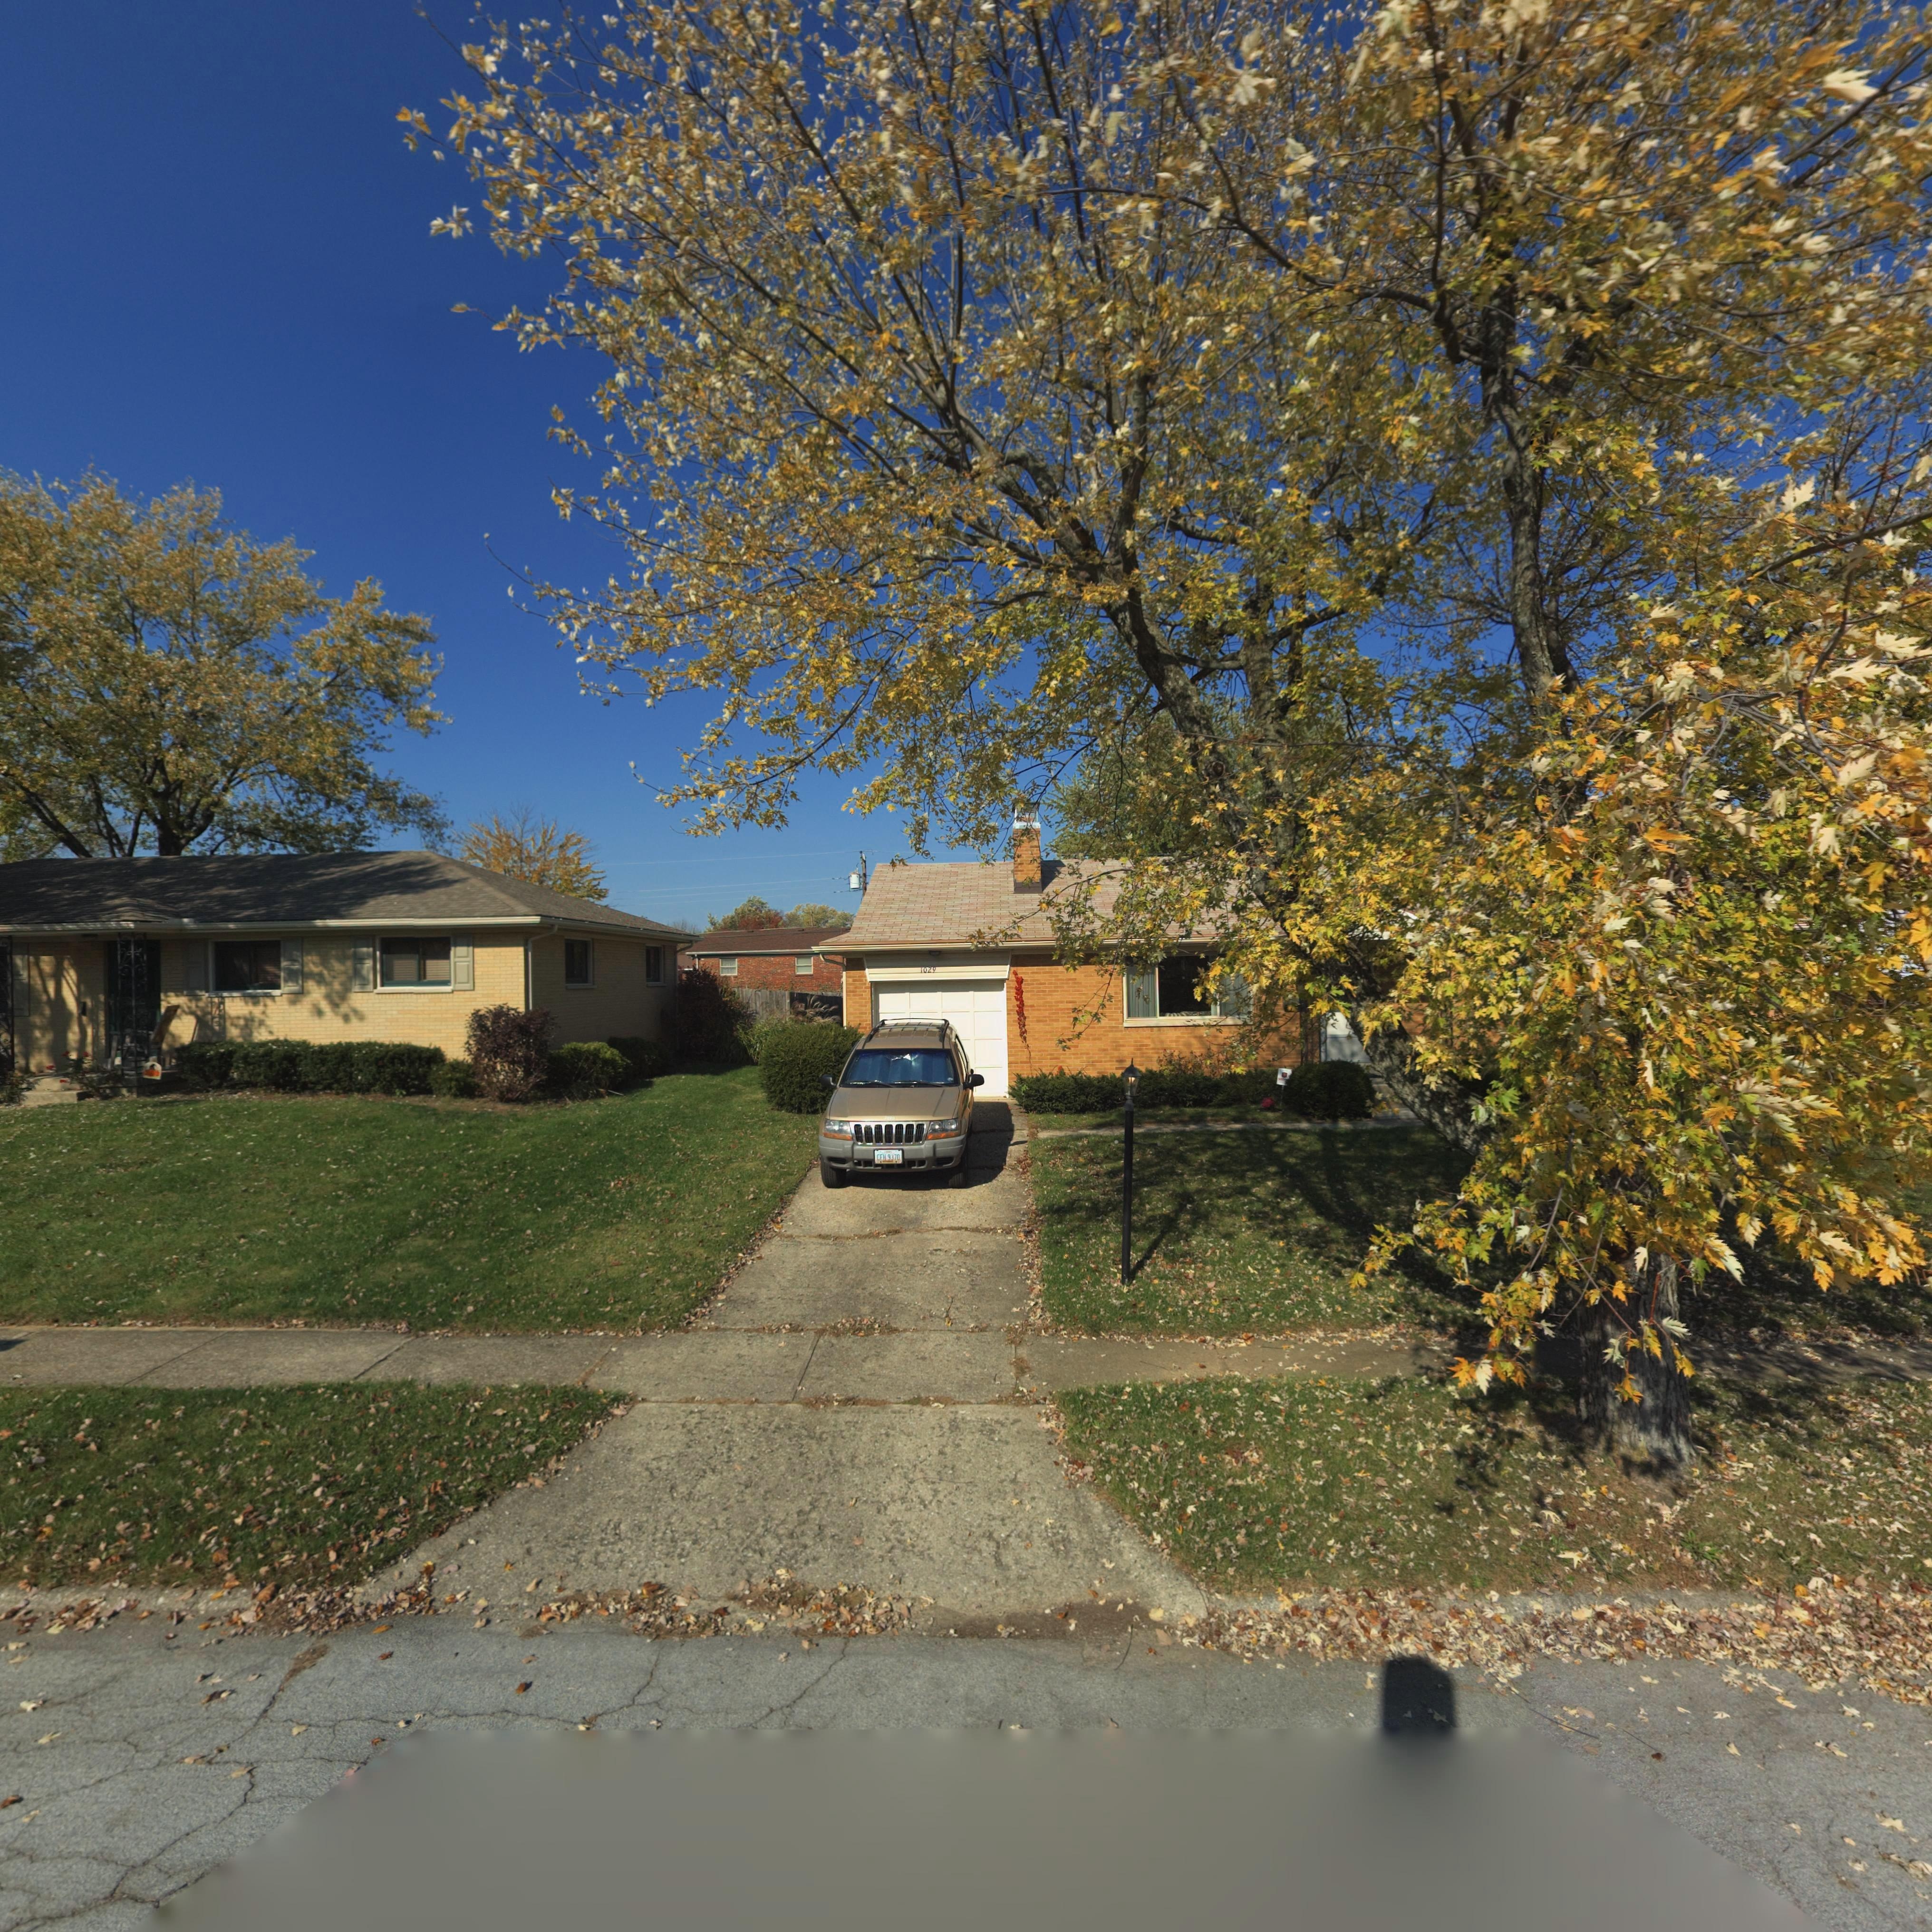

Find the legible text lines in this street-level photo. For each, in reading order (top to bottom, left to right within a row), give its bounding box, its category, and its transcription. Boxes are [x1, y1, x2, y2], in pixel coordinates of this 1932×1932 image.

[920, 966, 937, 974] StreetNumber: 1029
[875, 1152, 901, 1161] None: CFH 9370